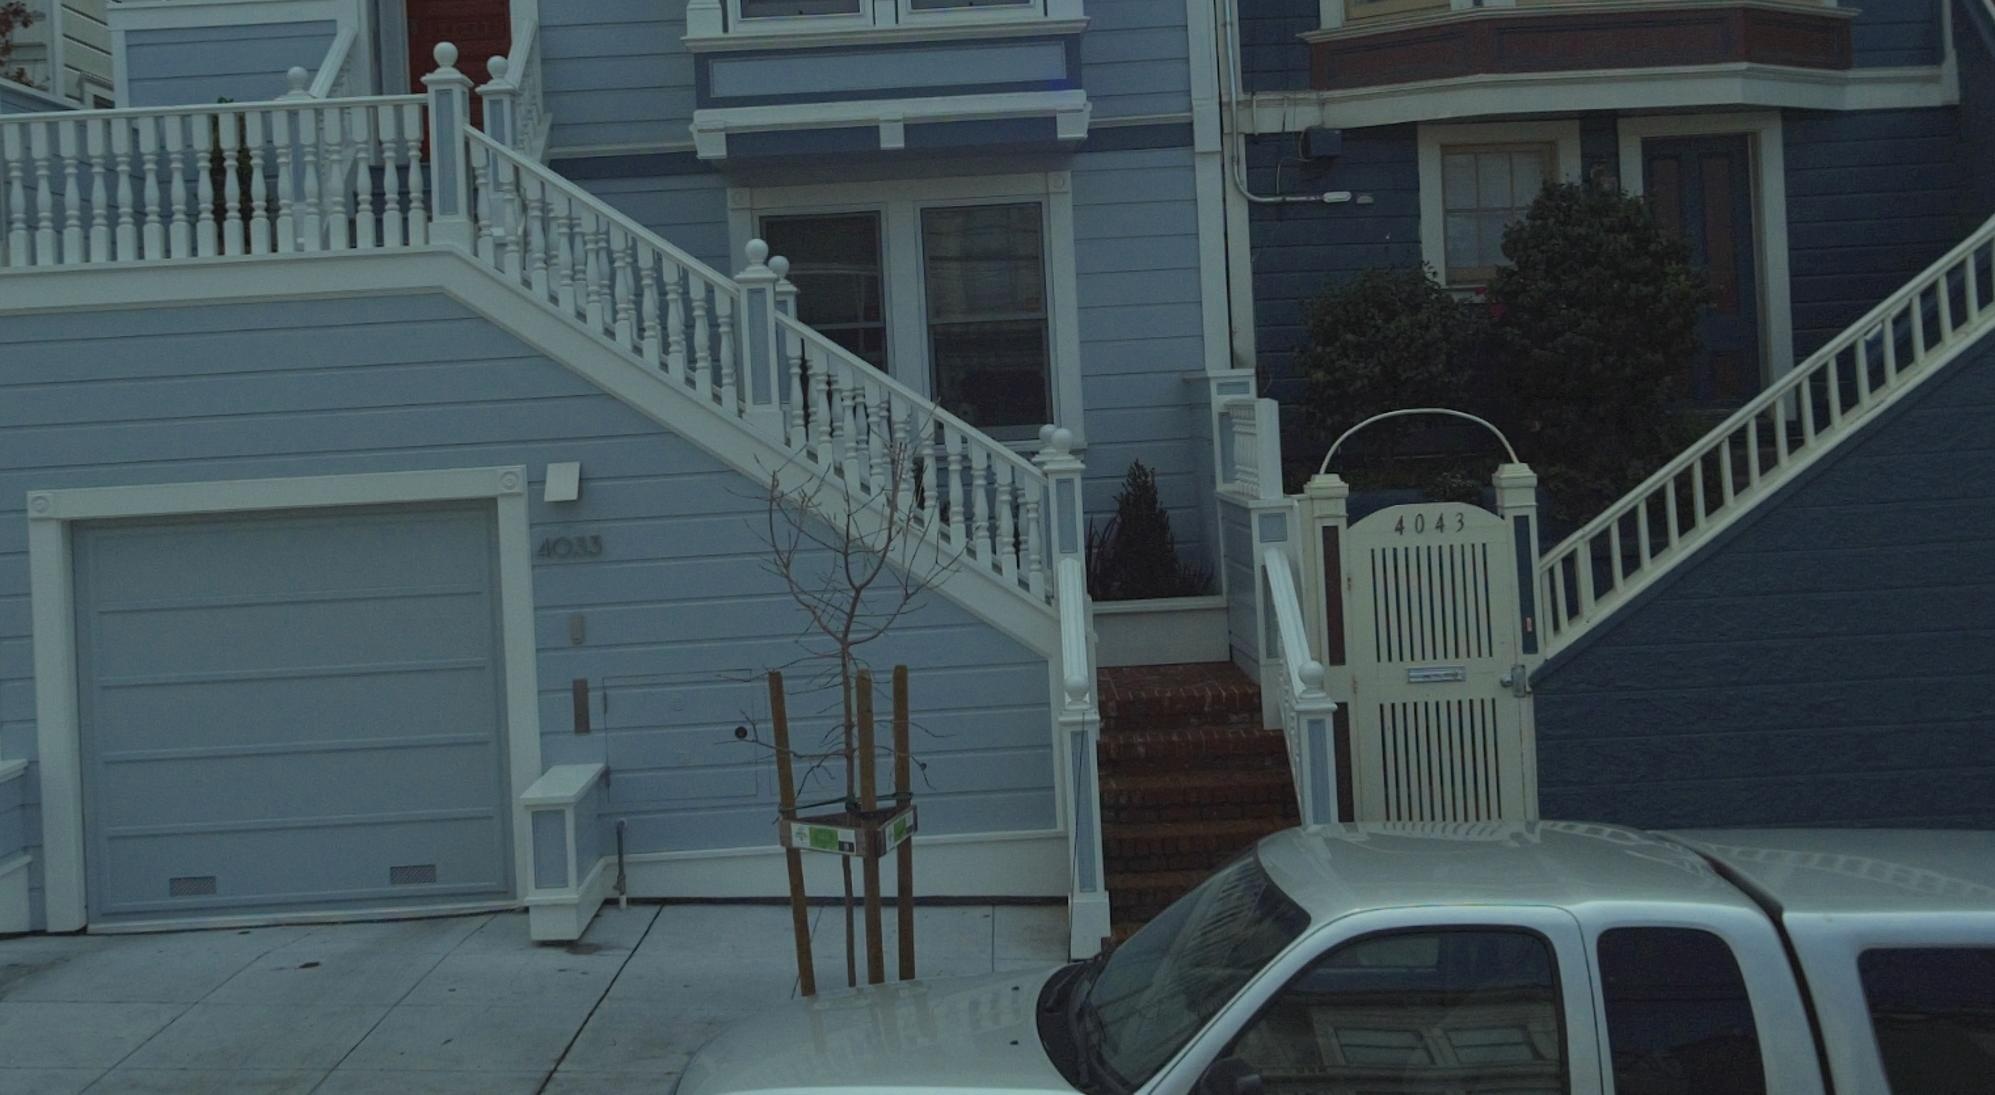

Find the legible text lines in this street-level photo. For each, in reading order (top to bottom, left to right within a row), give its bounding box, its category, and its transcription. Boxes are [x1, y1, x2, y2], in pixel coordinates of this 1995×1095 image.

[1392, 511, 1467, 537] StreetNumber: 4043
[538, 532, 603, 561] StreetNumber: 4033